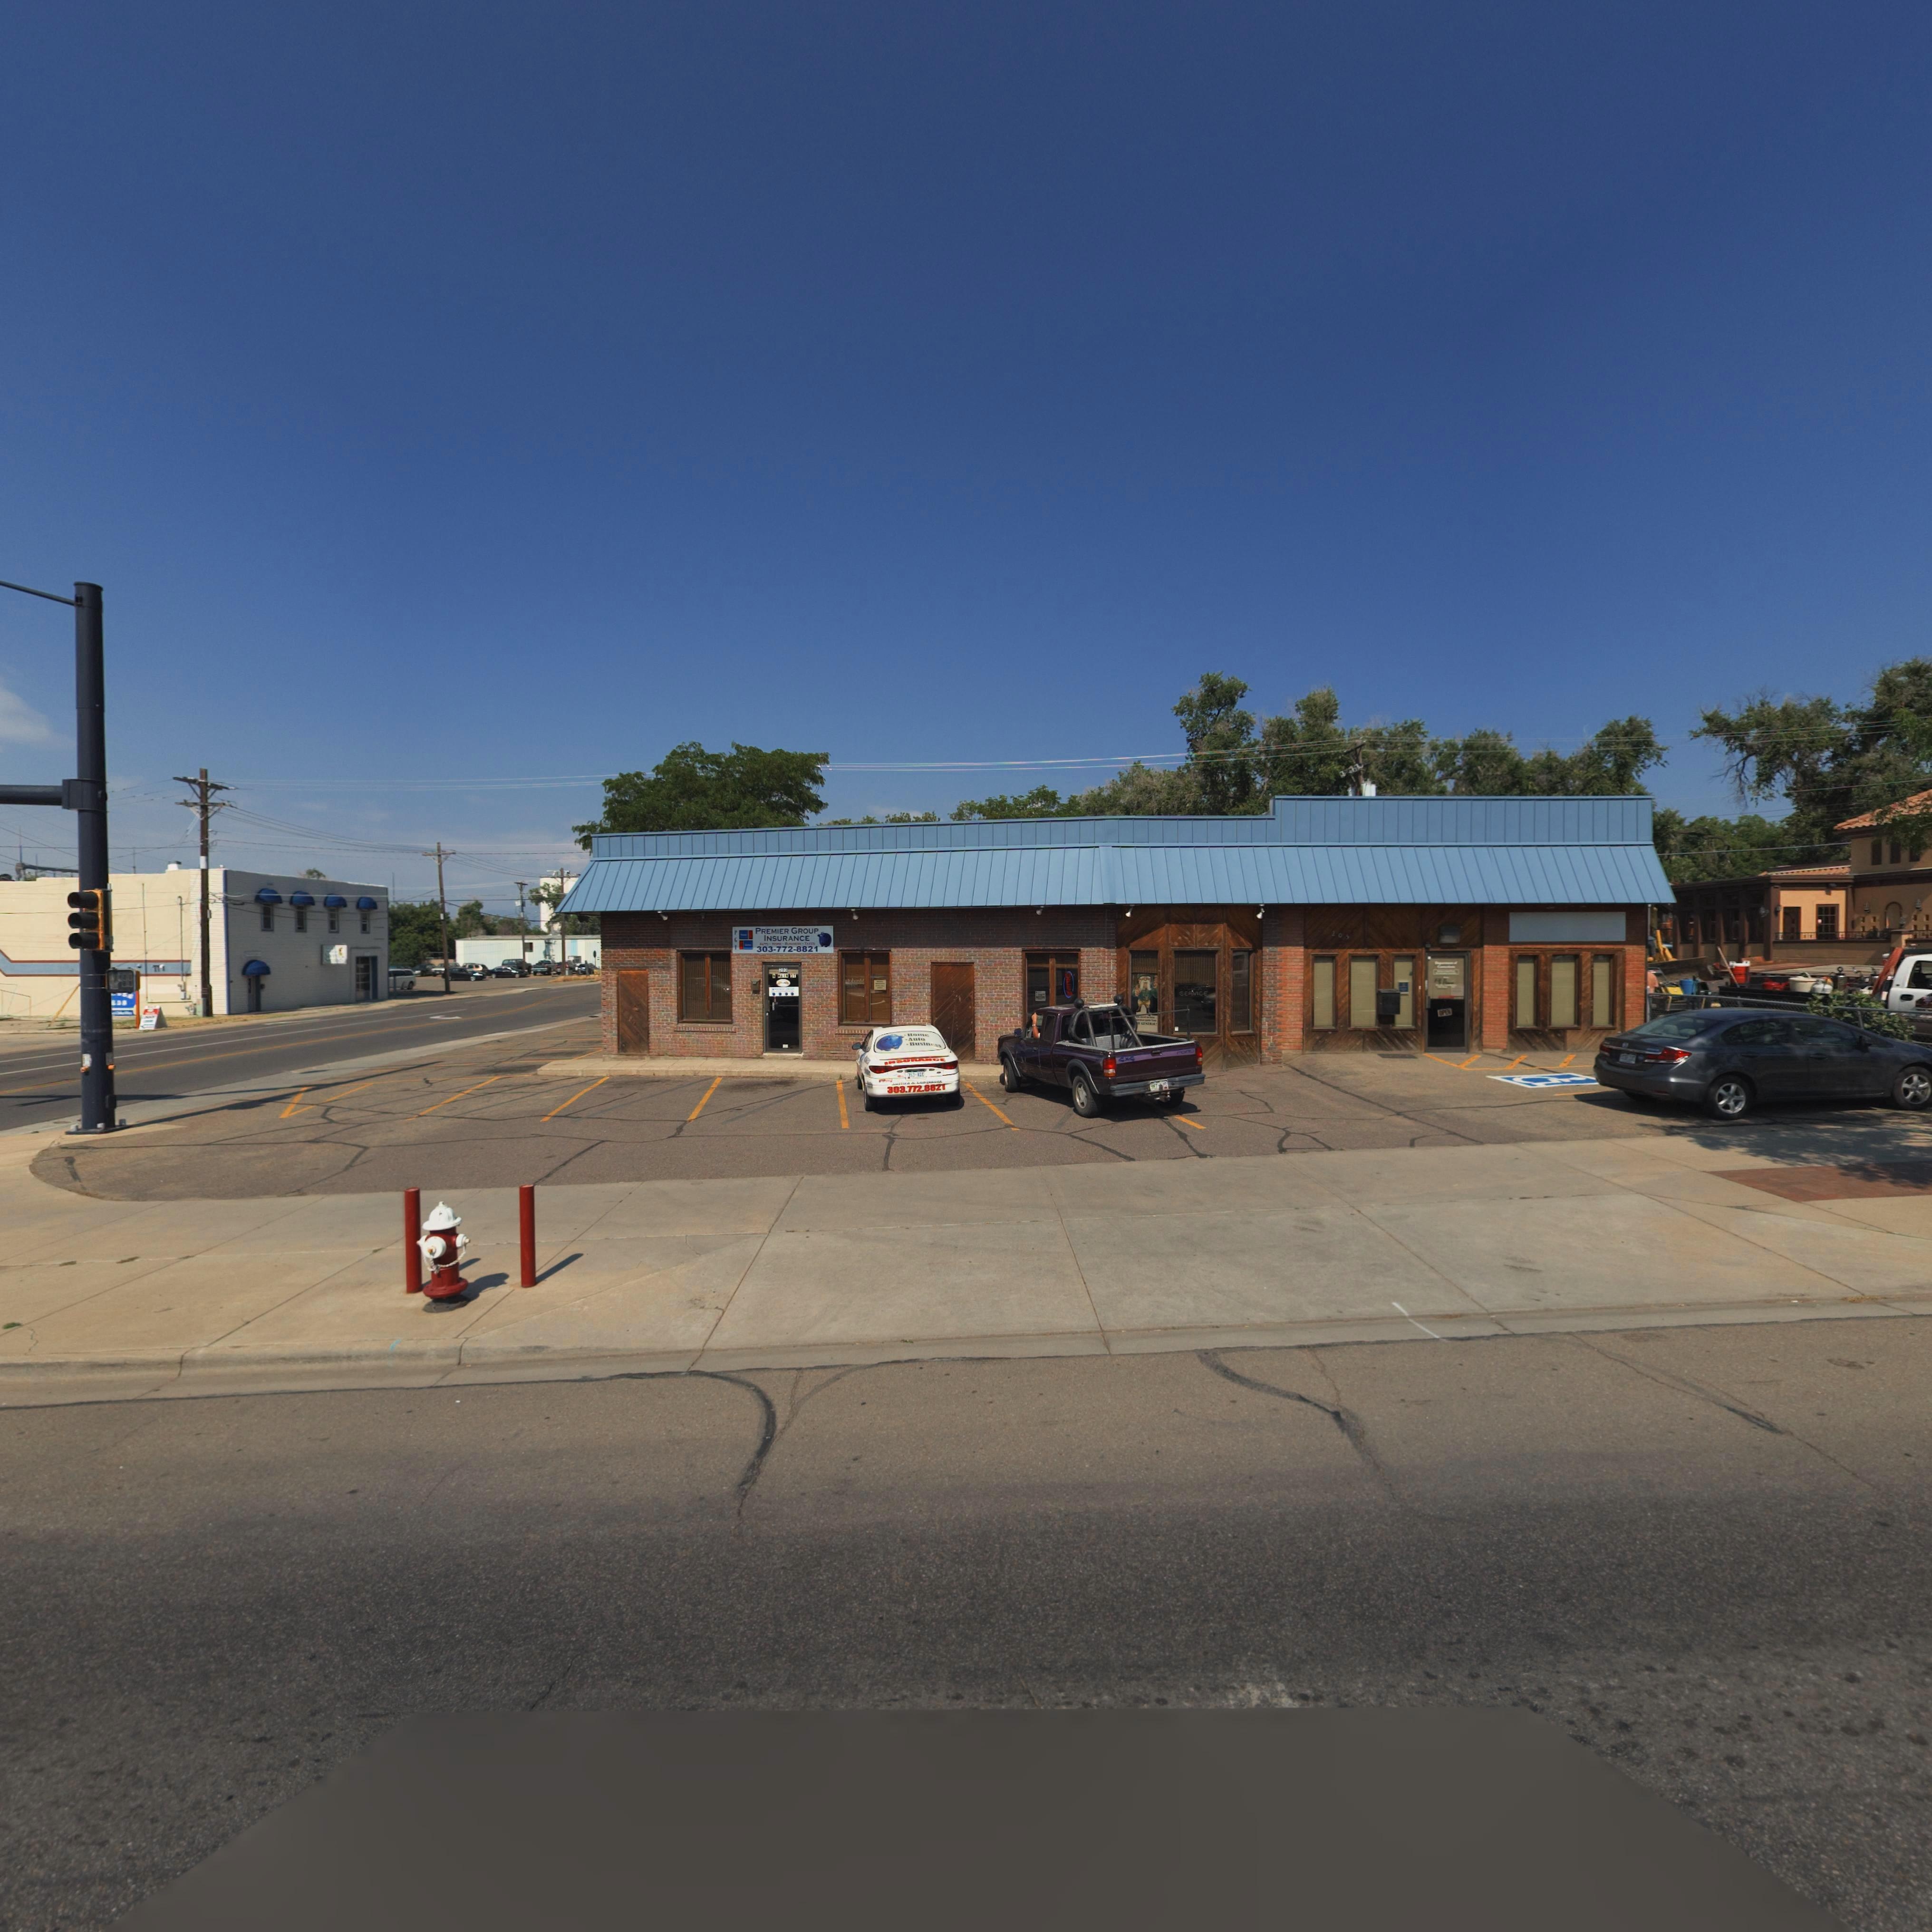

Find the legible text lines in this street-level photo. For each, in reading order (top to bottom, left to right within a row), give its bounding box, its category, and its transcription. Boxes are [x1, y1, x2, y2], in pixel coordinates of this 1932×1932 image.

[755, 927, 819, 934] BusinessName: PREMIER GROUP
[764, 935, 810, 941] BusinessName: INSURANCE
[1331, 930, 1350, 940] StreetNumber: 20*
[772, 974, 796, 978] StreetName: * **IN ST